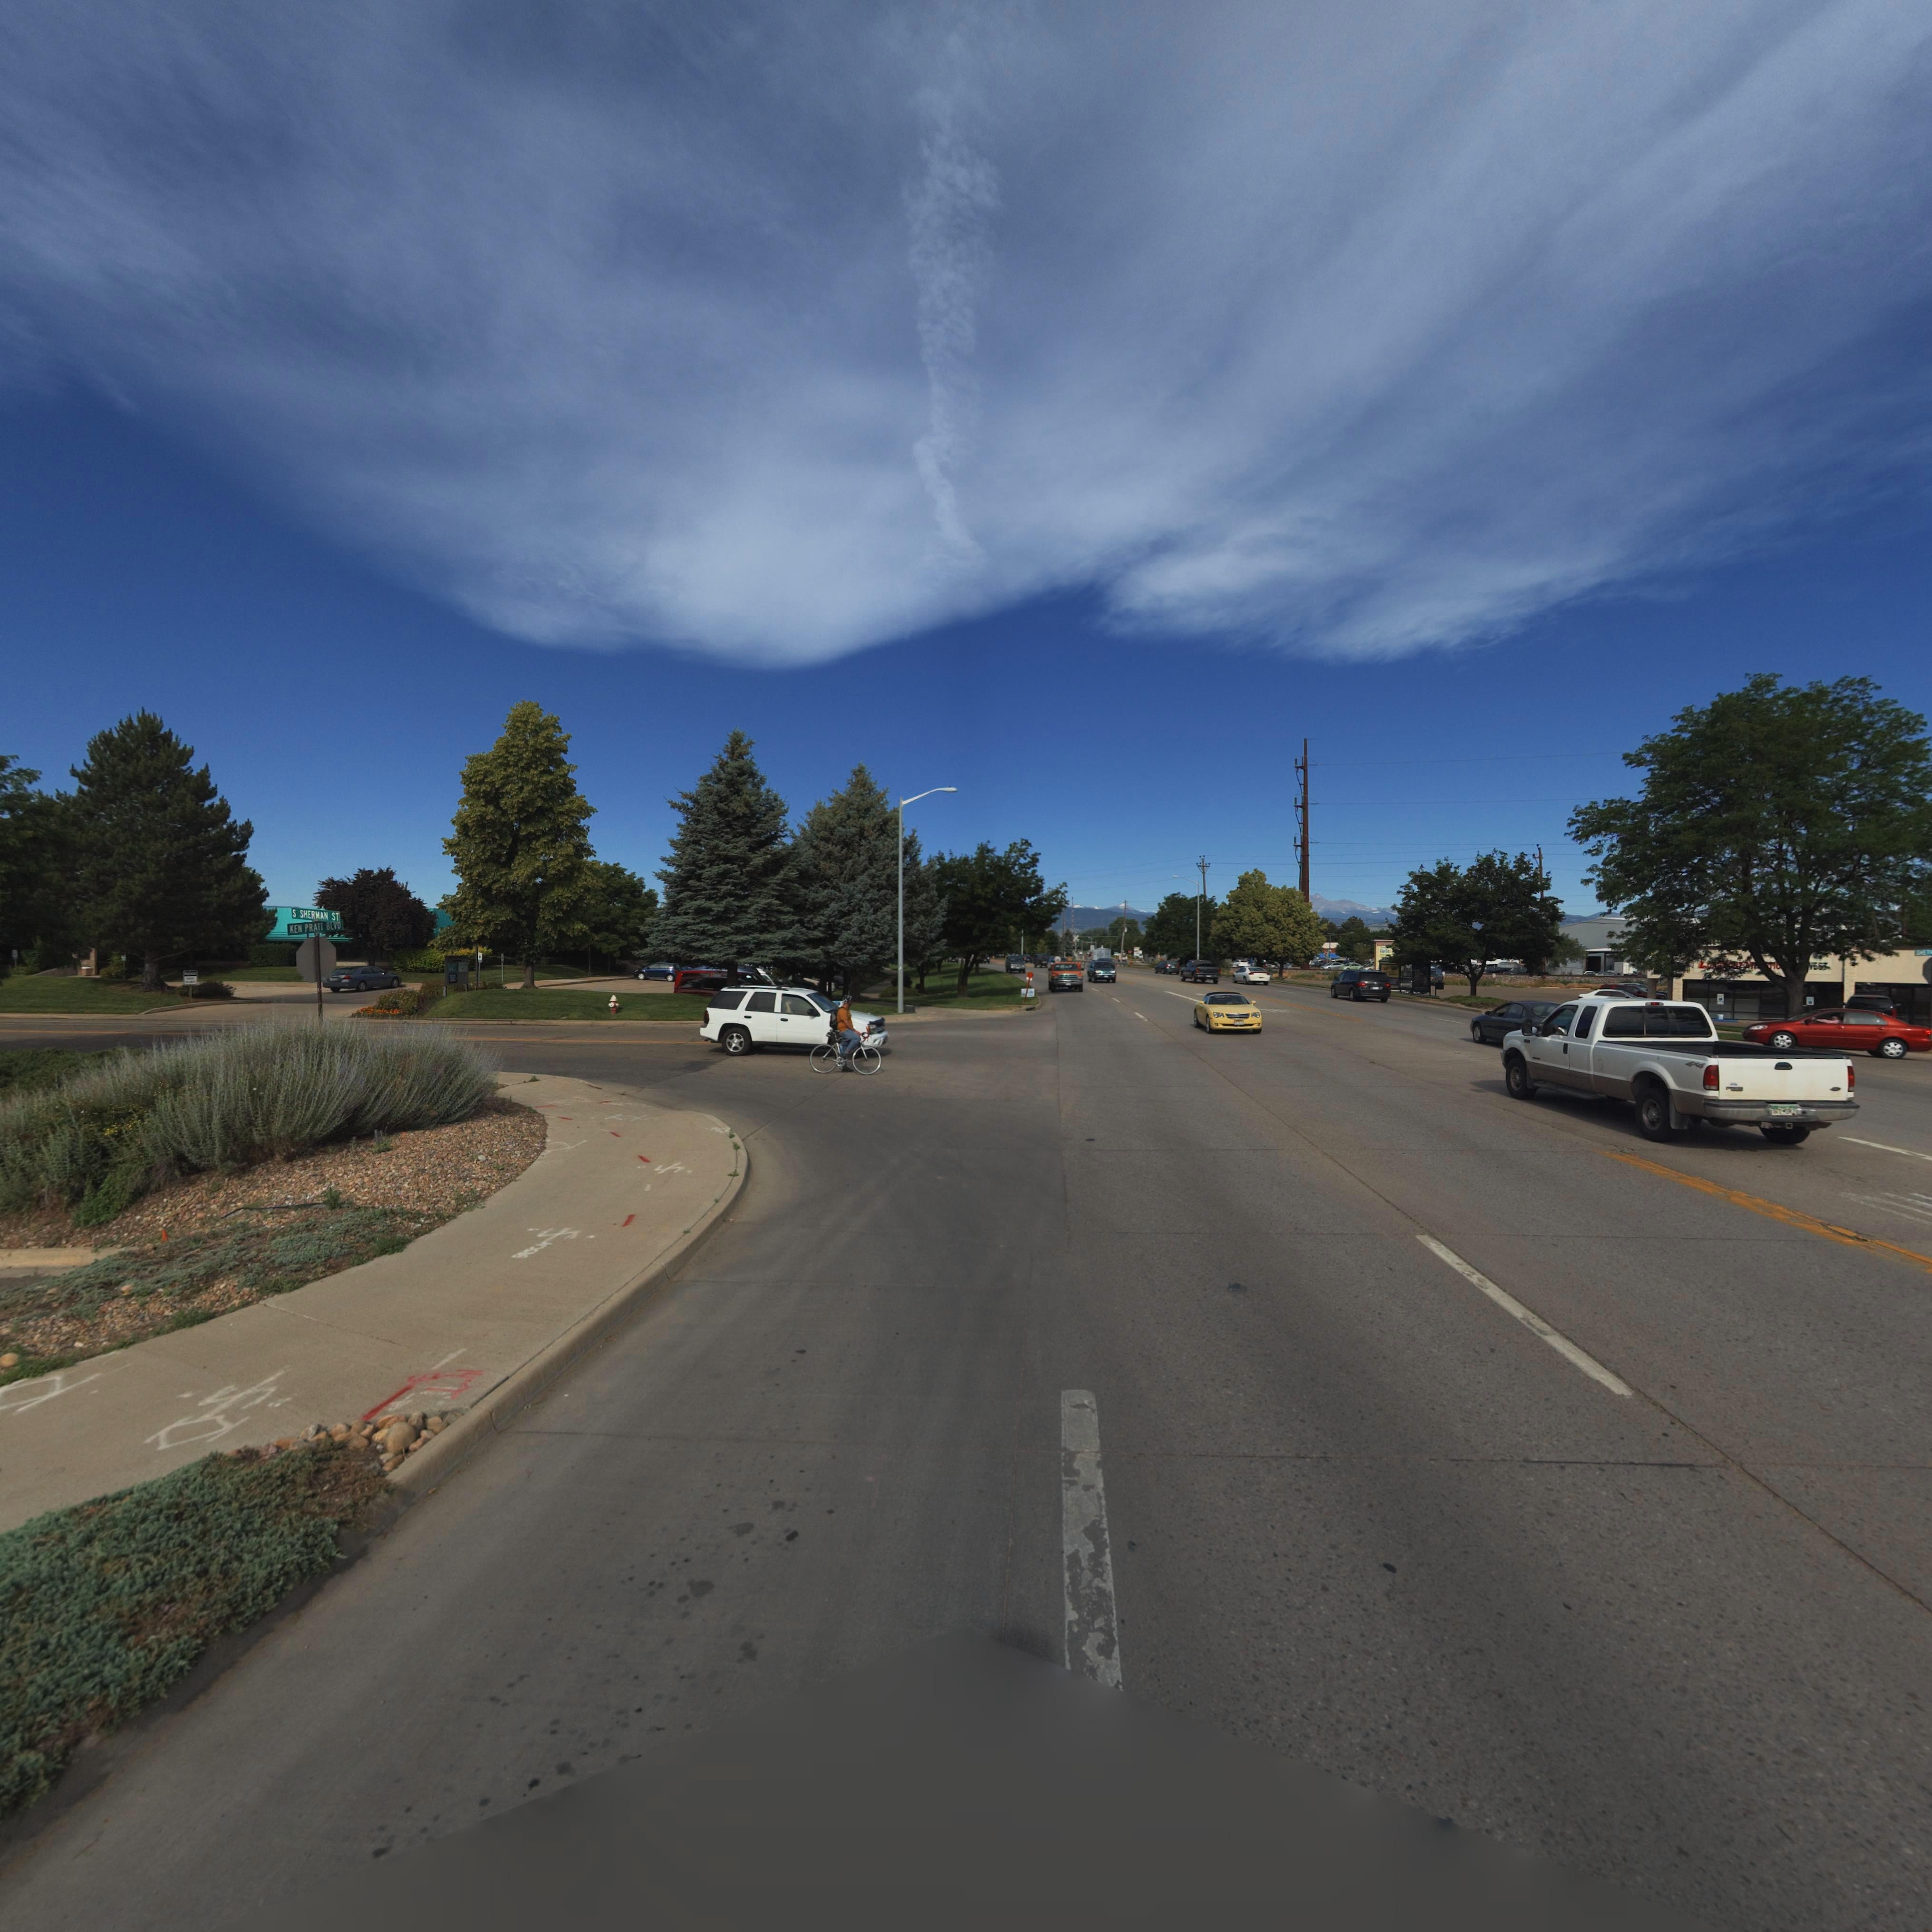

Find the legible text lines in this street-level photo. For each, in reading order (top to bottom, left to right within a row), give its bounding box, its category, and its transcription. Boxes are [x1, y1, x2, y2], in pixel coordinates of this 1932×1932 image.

[293, 909, 339, 921] StreetName: S SHERMAN ST
[289, 921, 341, 933] StreetName: KEN PRATT BLVD